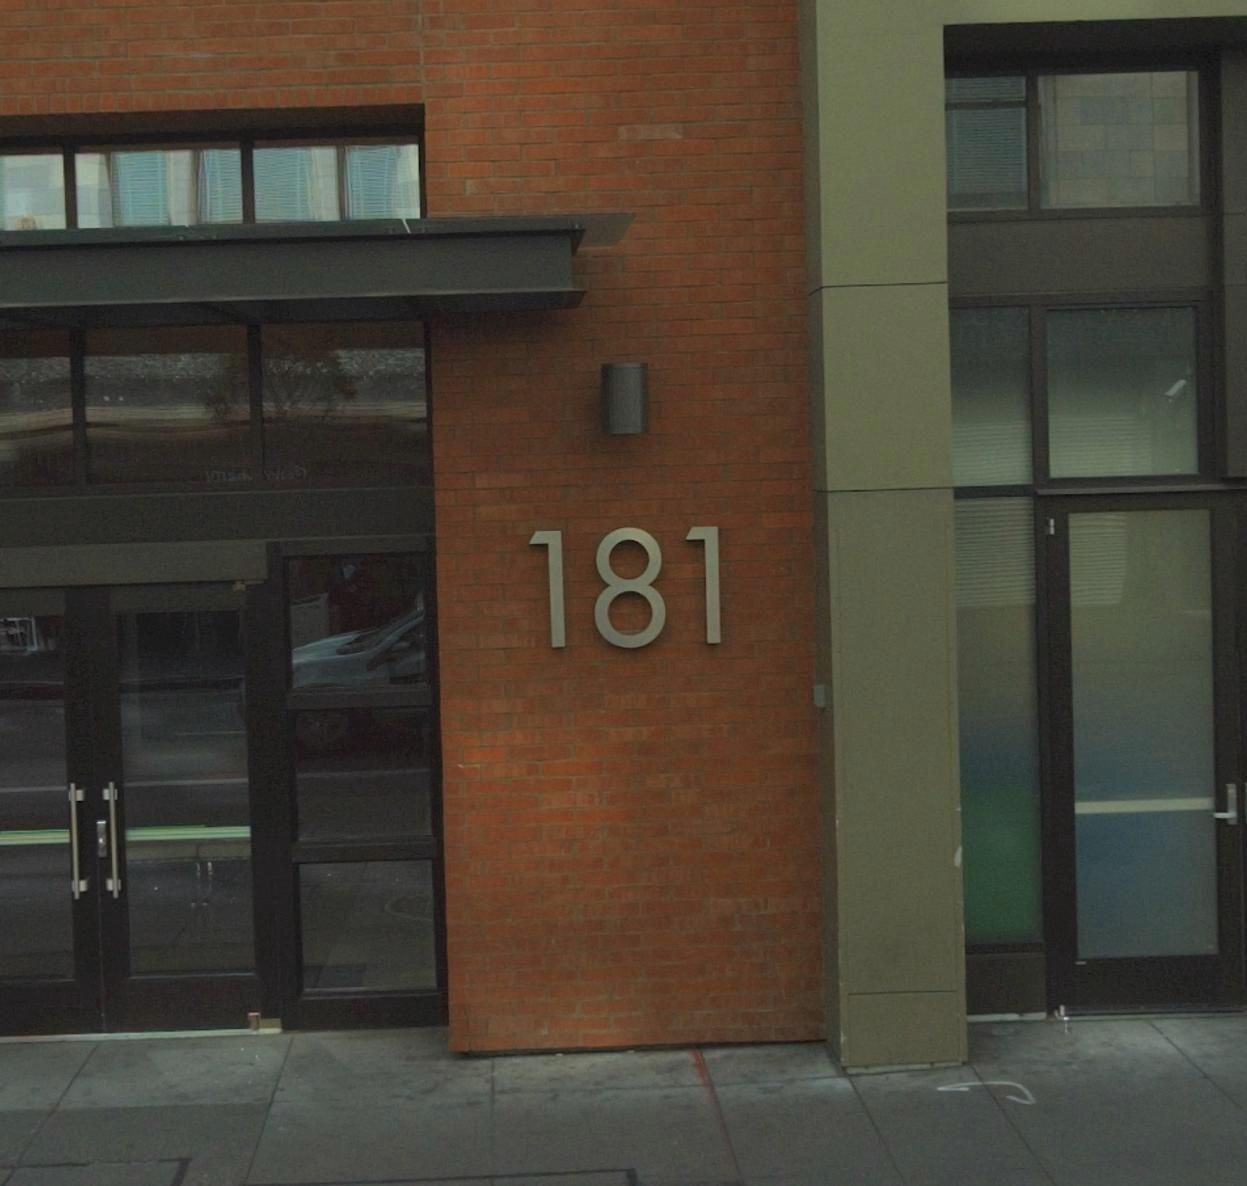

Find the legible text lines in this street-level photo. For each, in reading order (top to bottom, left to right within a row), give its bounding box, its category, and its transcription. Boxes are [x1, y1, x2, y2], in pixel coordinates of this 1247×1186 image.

[521, 519, 729, 657] StreetNumber: 181